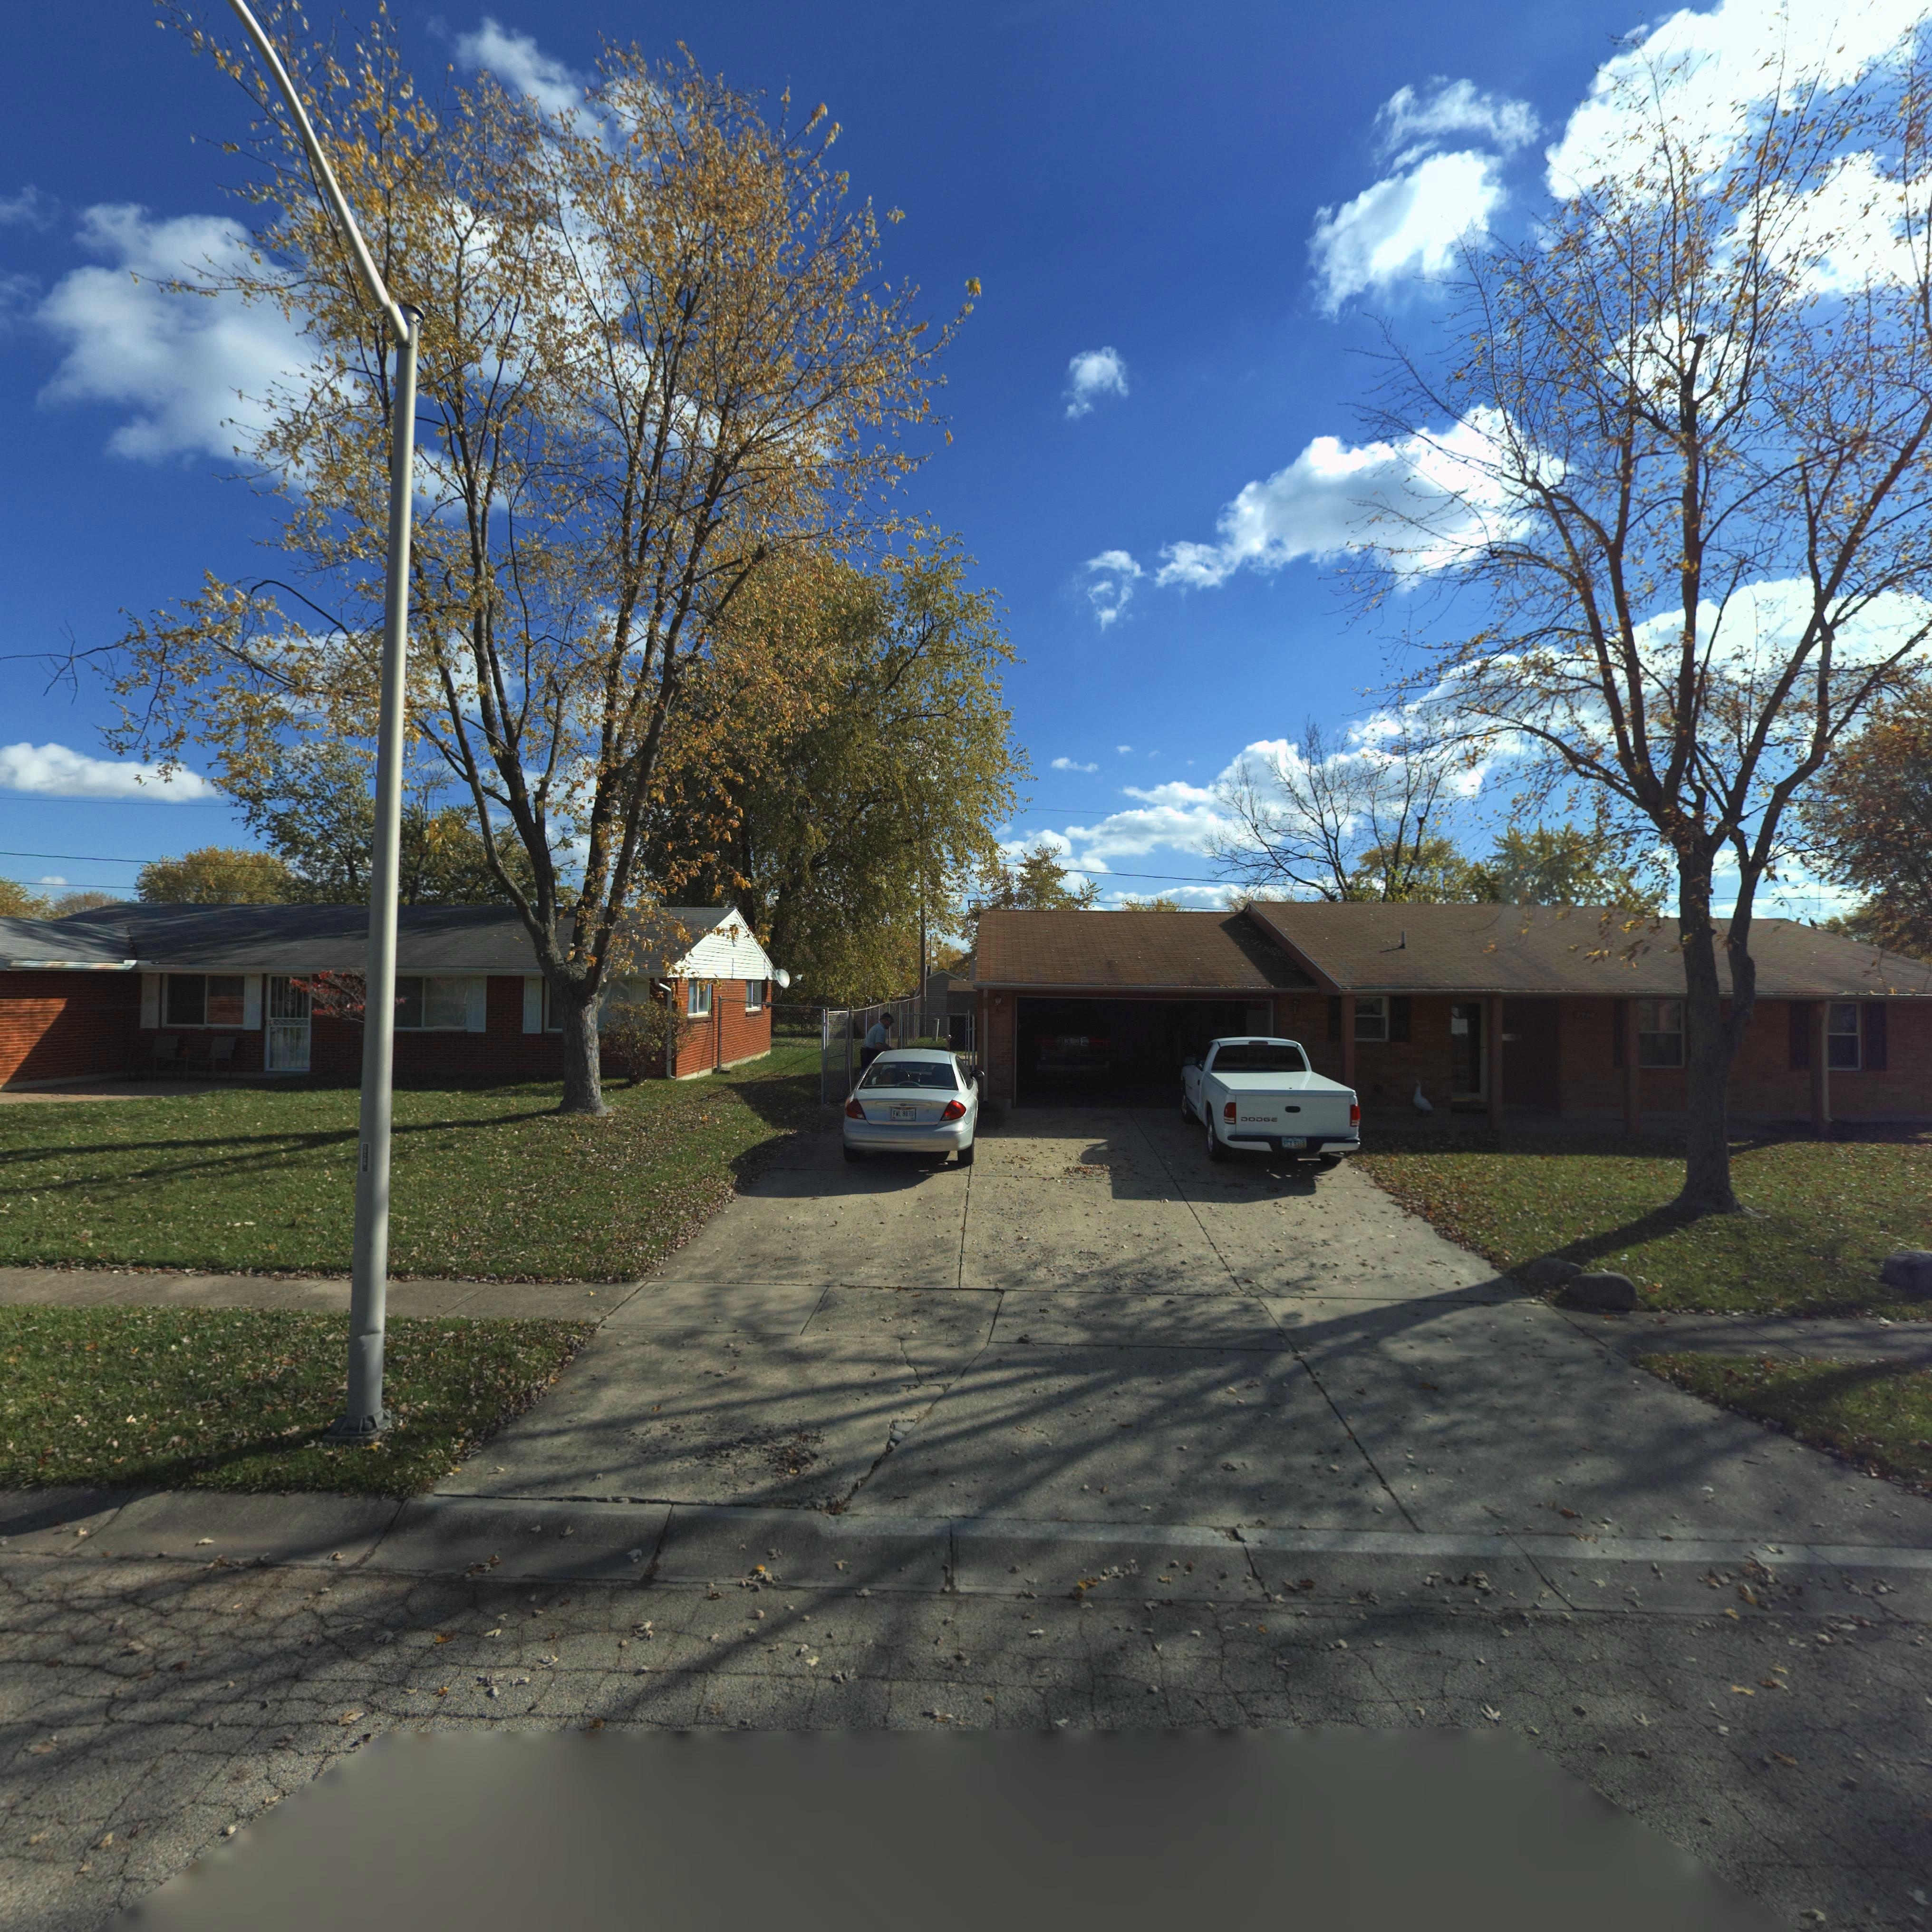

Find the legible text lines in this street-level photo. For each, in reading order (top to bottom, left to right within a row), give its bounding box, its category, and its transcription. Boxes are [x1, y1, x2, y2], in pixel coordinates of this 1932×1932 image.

[1575, 1011, 1596, 1020] StreetNumber: *7**